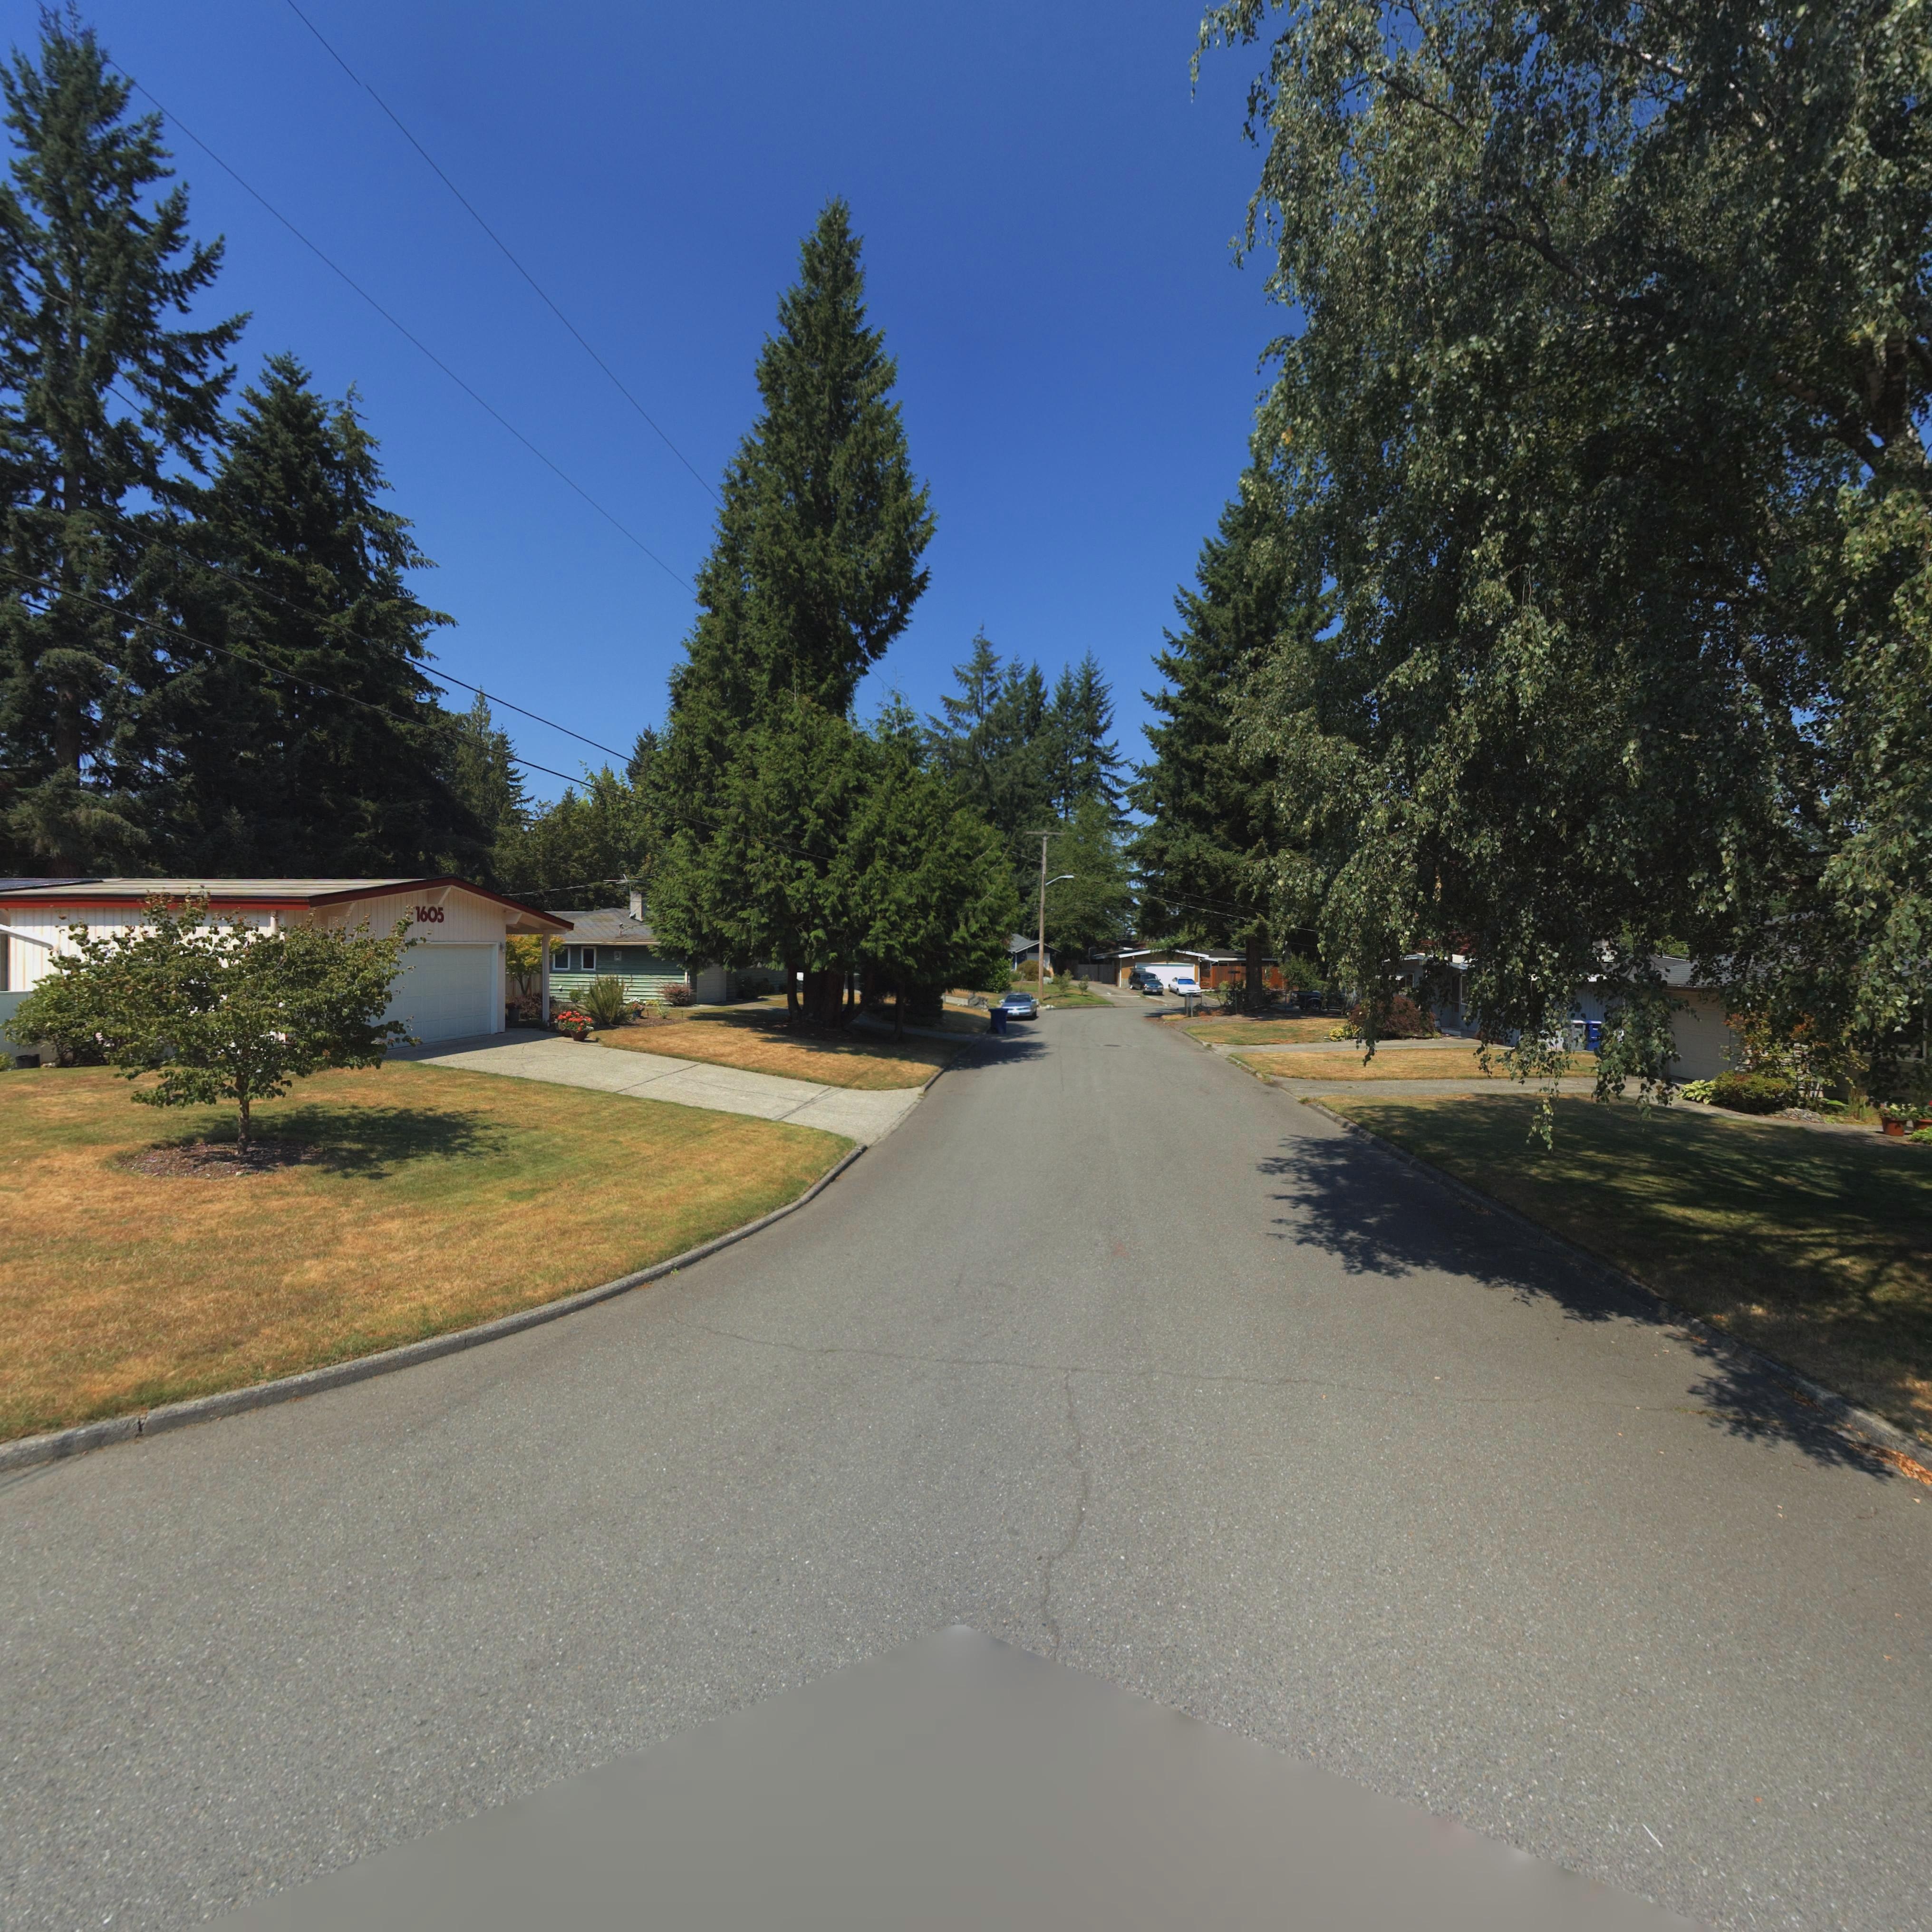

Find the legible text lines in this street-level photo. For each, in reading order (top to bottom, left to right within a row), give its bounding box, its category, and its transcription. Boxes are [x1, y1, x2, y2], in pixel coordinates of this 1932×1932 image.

[415, 905, 444, 923] StreetNumber: 1605